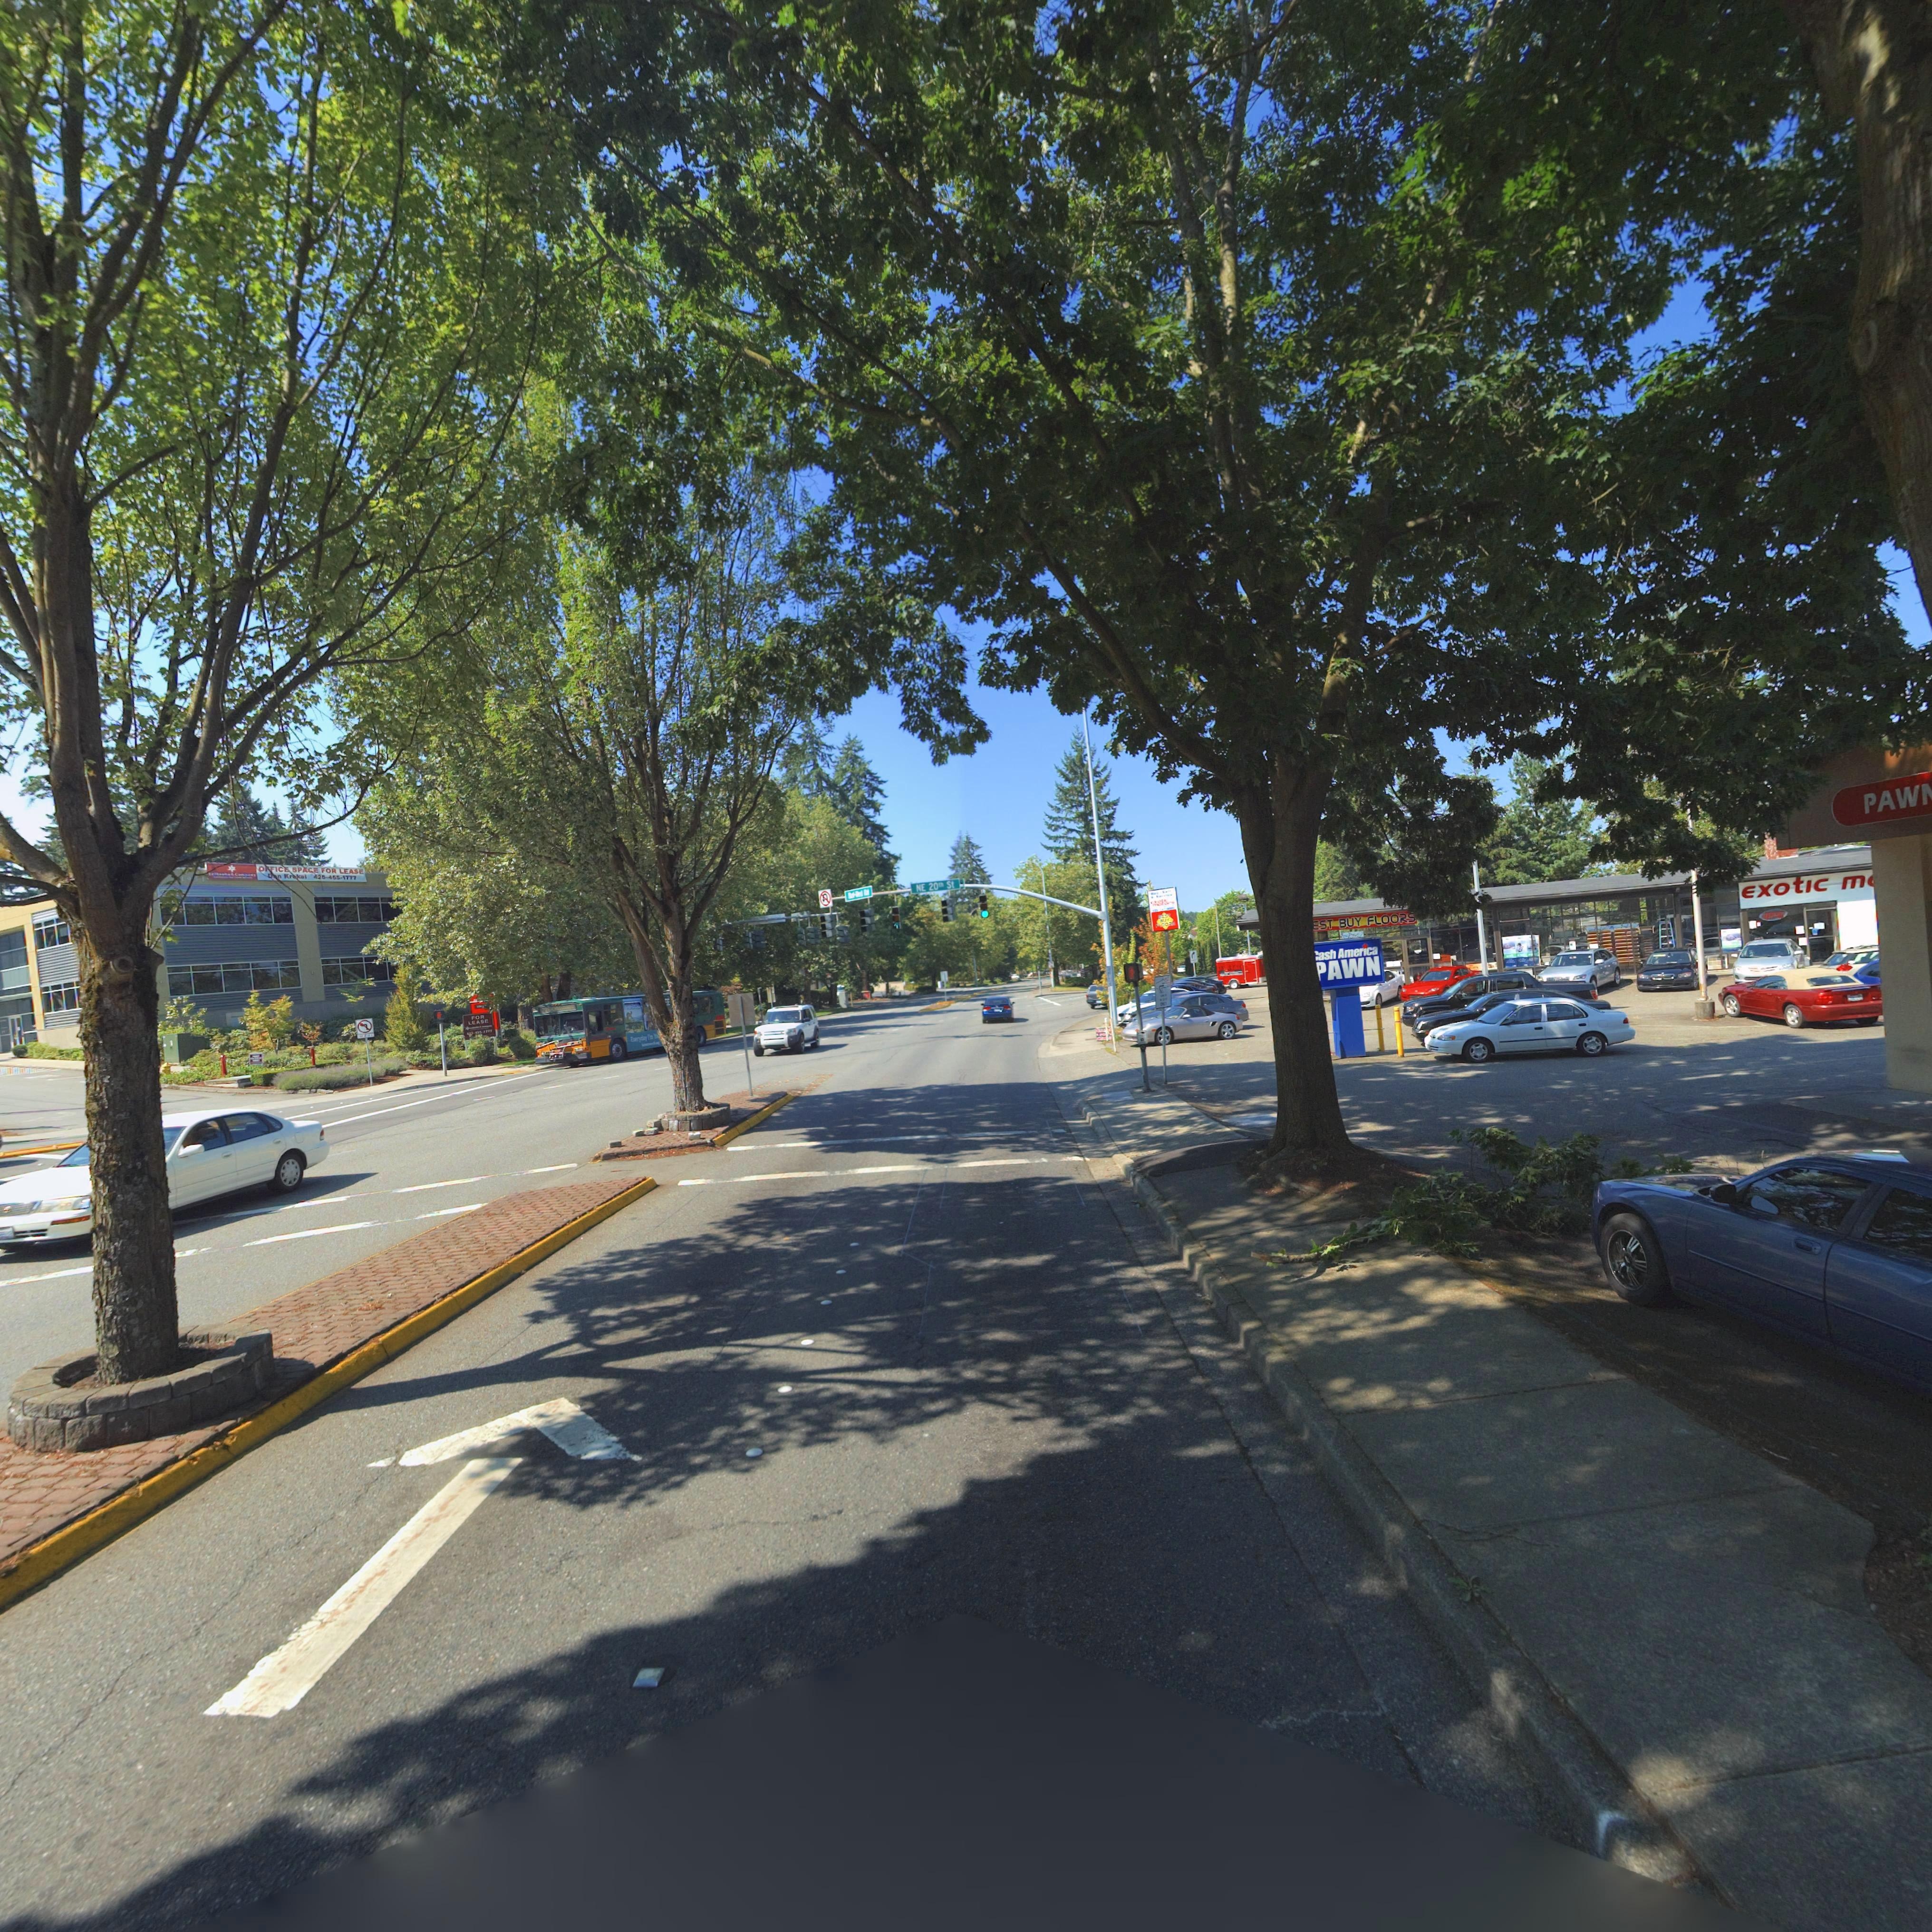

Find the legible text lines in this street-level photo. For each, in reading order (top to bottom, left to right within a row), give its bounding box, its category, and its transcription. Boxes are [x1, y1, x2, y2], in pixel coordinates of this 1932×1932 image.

[1863, 785, 1920, 814] BusinessName: PAW
[916, 880, 955, 892] StreetName: NE 20th St
[1742, 874, 1866, 899] BusinessName: Exotic m
[1313, 912, 1416, 930] BusinessName: EST BUY FLOORS
[1314, 947, 1378, 961] BusinessName: *ash Amer*ca
[1317, 956, 1381, 981] BusinessName: *AWN